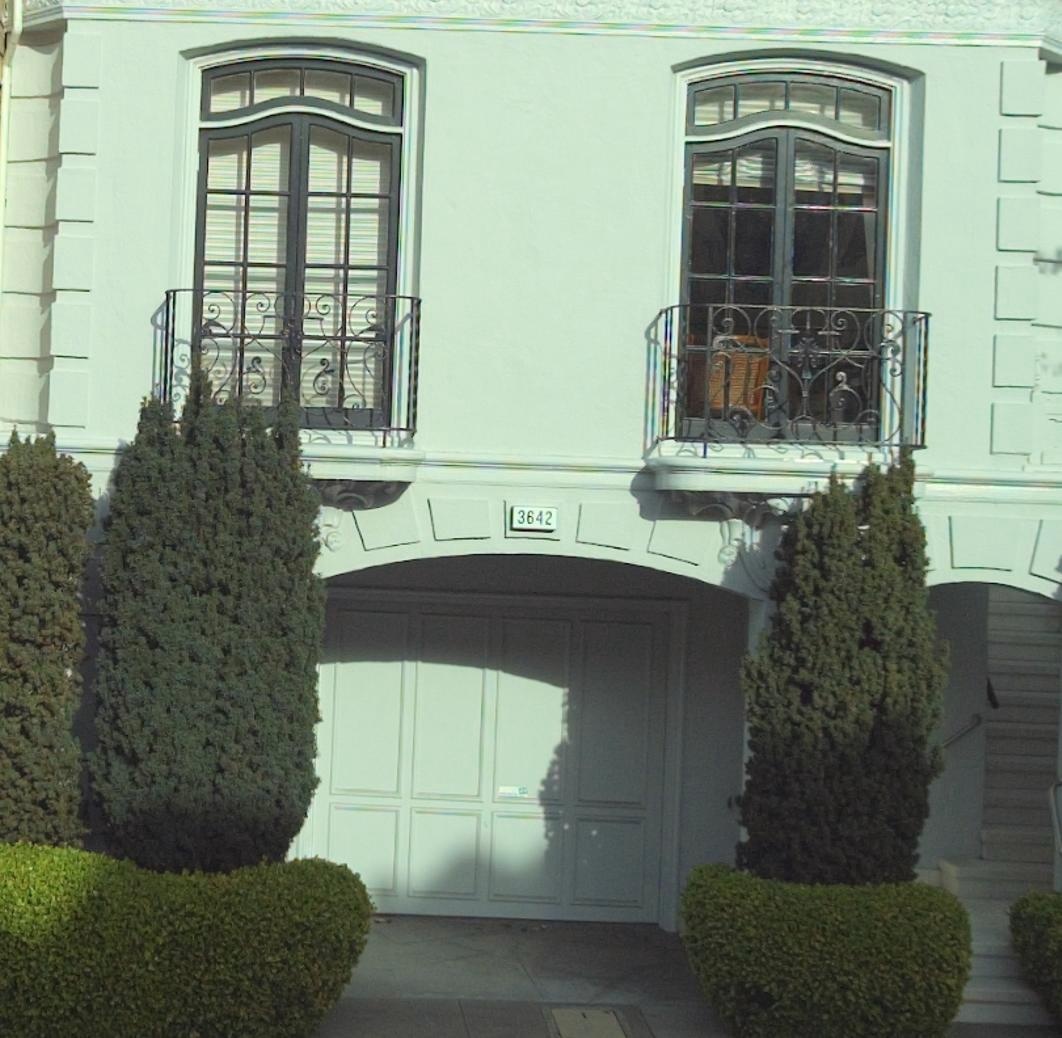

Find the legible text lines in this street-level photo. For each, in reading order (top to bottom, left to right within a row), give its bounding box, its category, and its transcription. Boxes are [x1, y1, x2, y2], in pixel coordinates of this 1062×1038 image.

[515, 507, 555, 528] StreetNumber: 3642